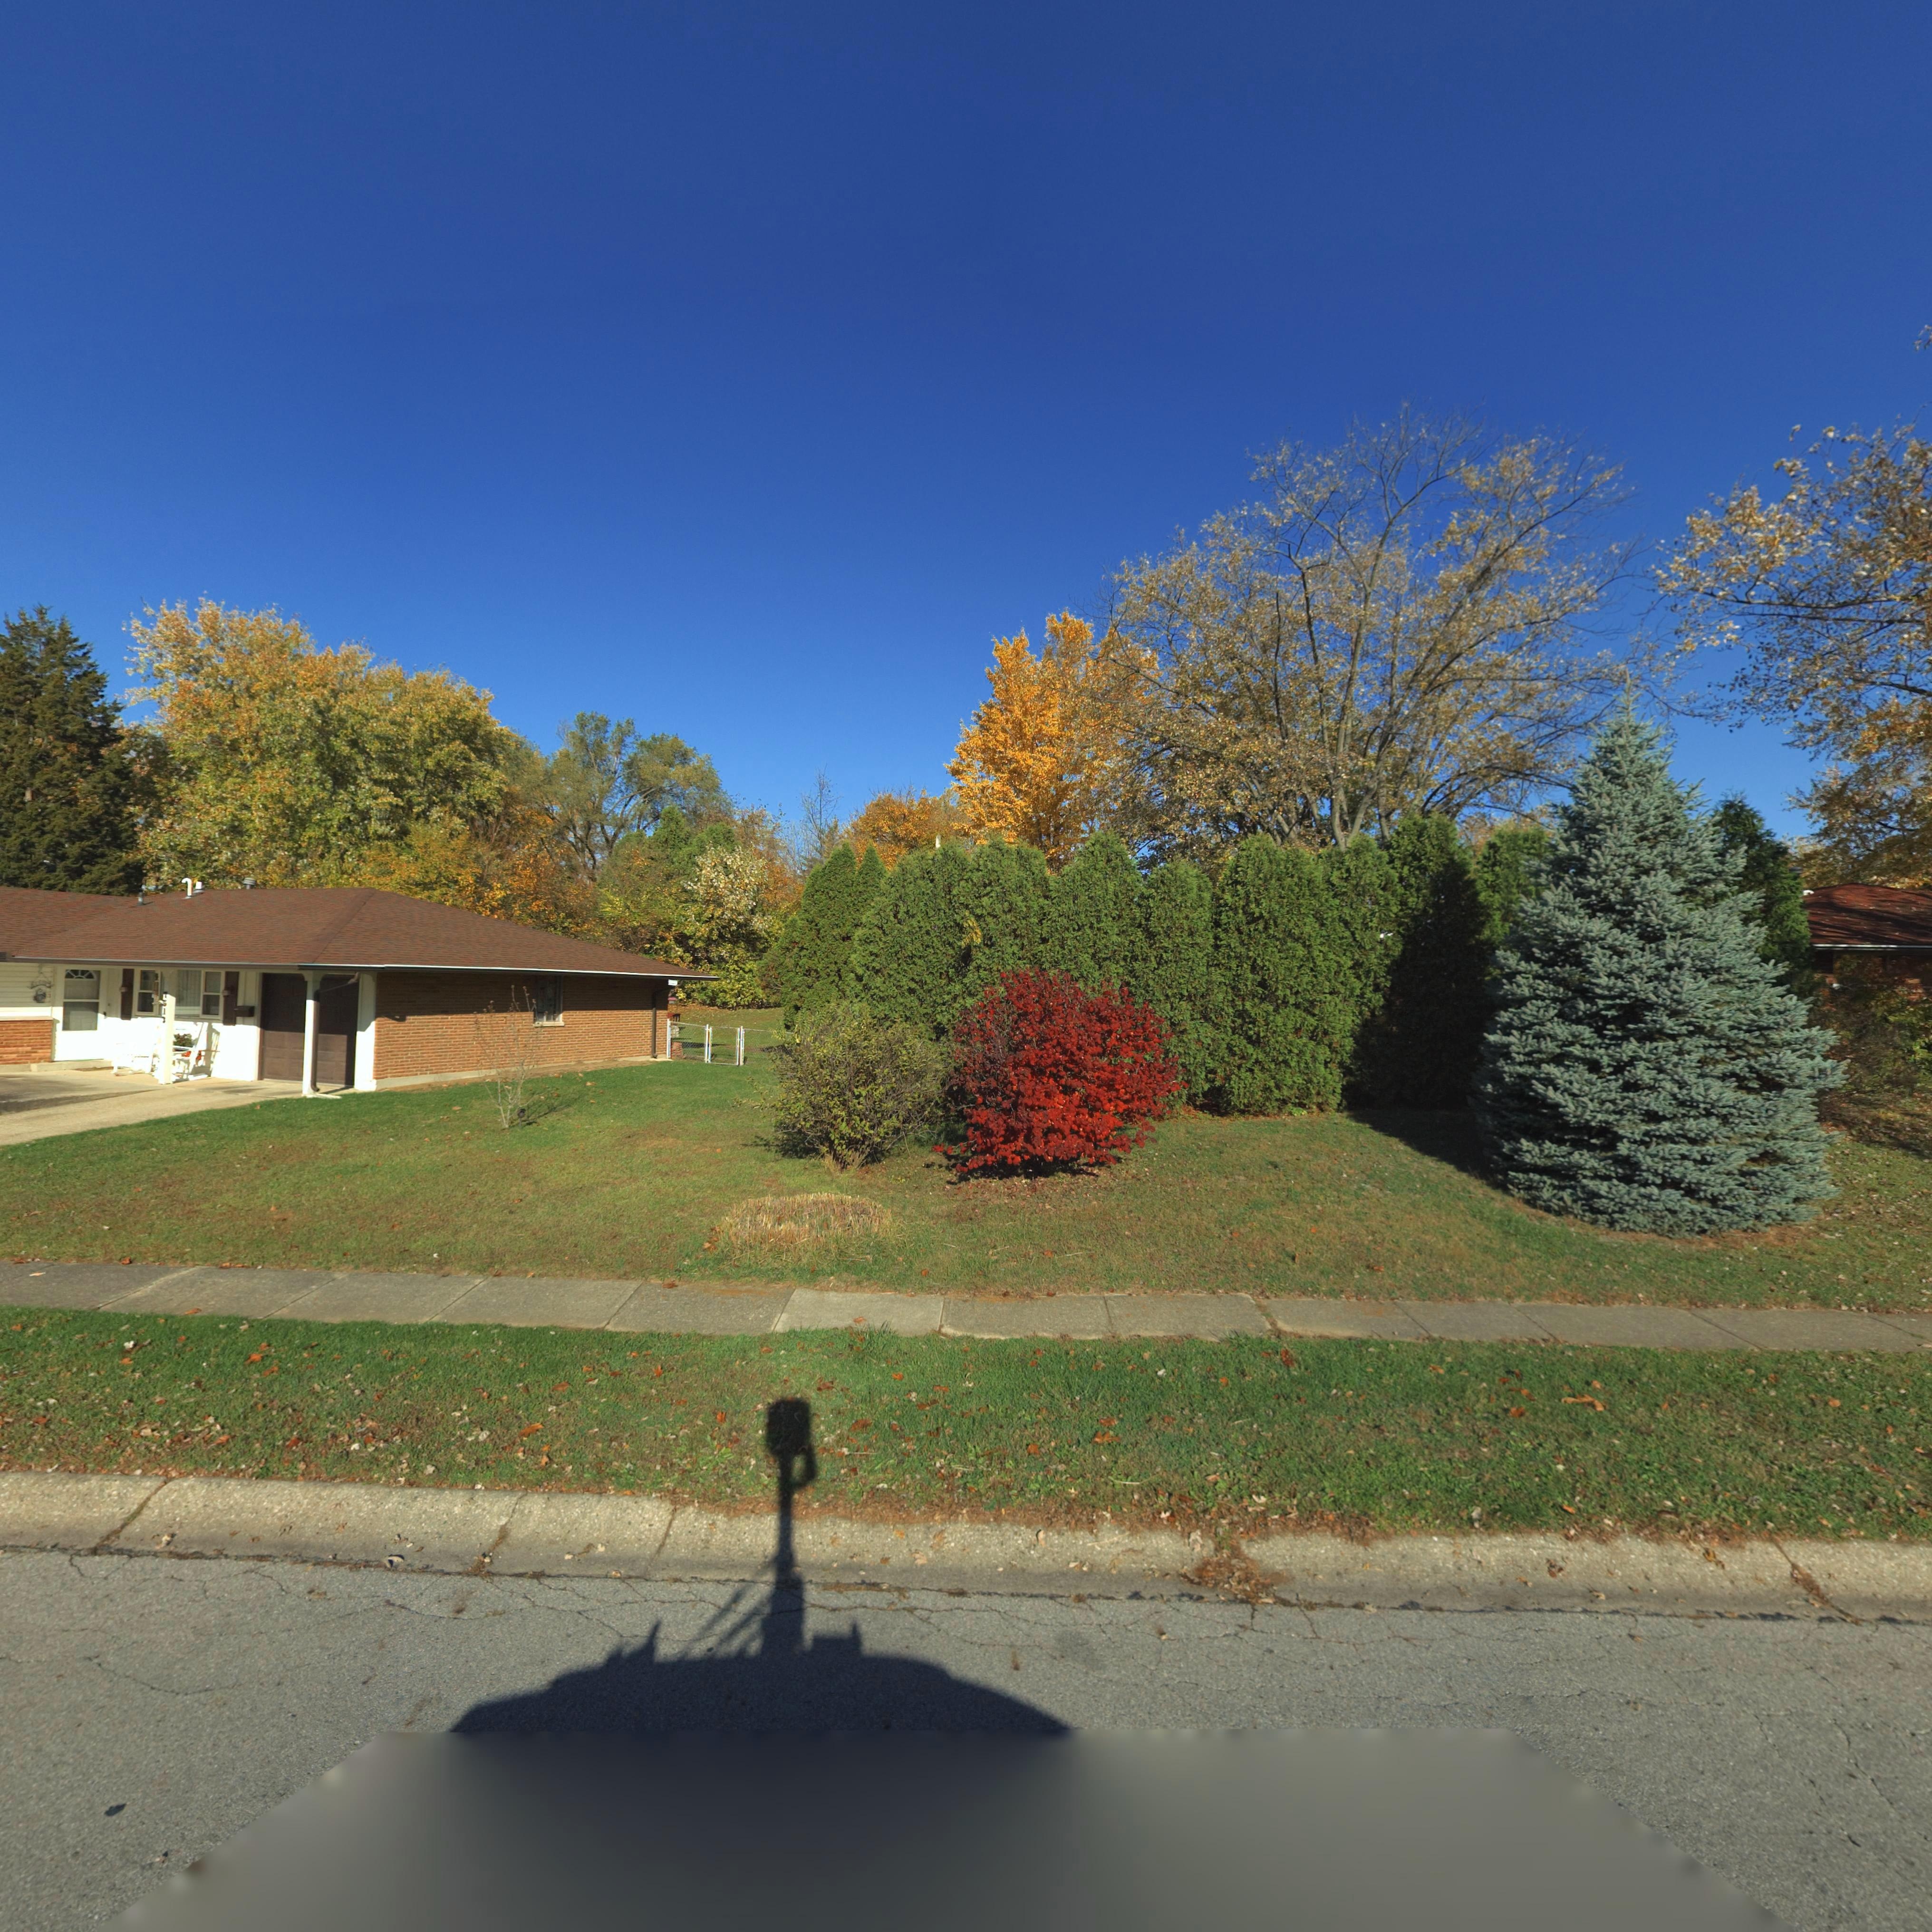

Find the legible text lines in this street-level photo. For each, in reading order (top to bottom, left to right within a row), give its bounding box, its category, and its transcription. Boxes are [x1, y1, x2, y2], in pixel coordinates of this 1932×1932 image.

[161, 990, 169, 1025] StreetNumber: 7*1*